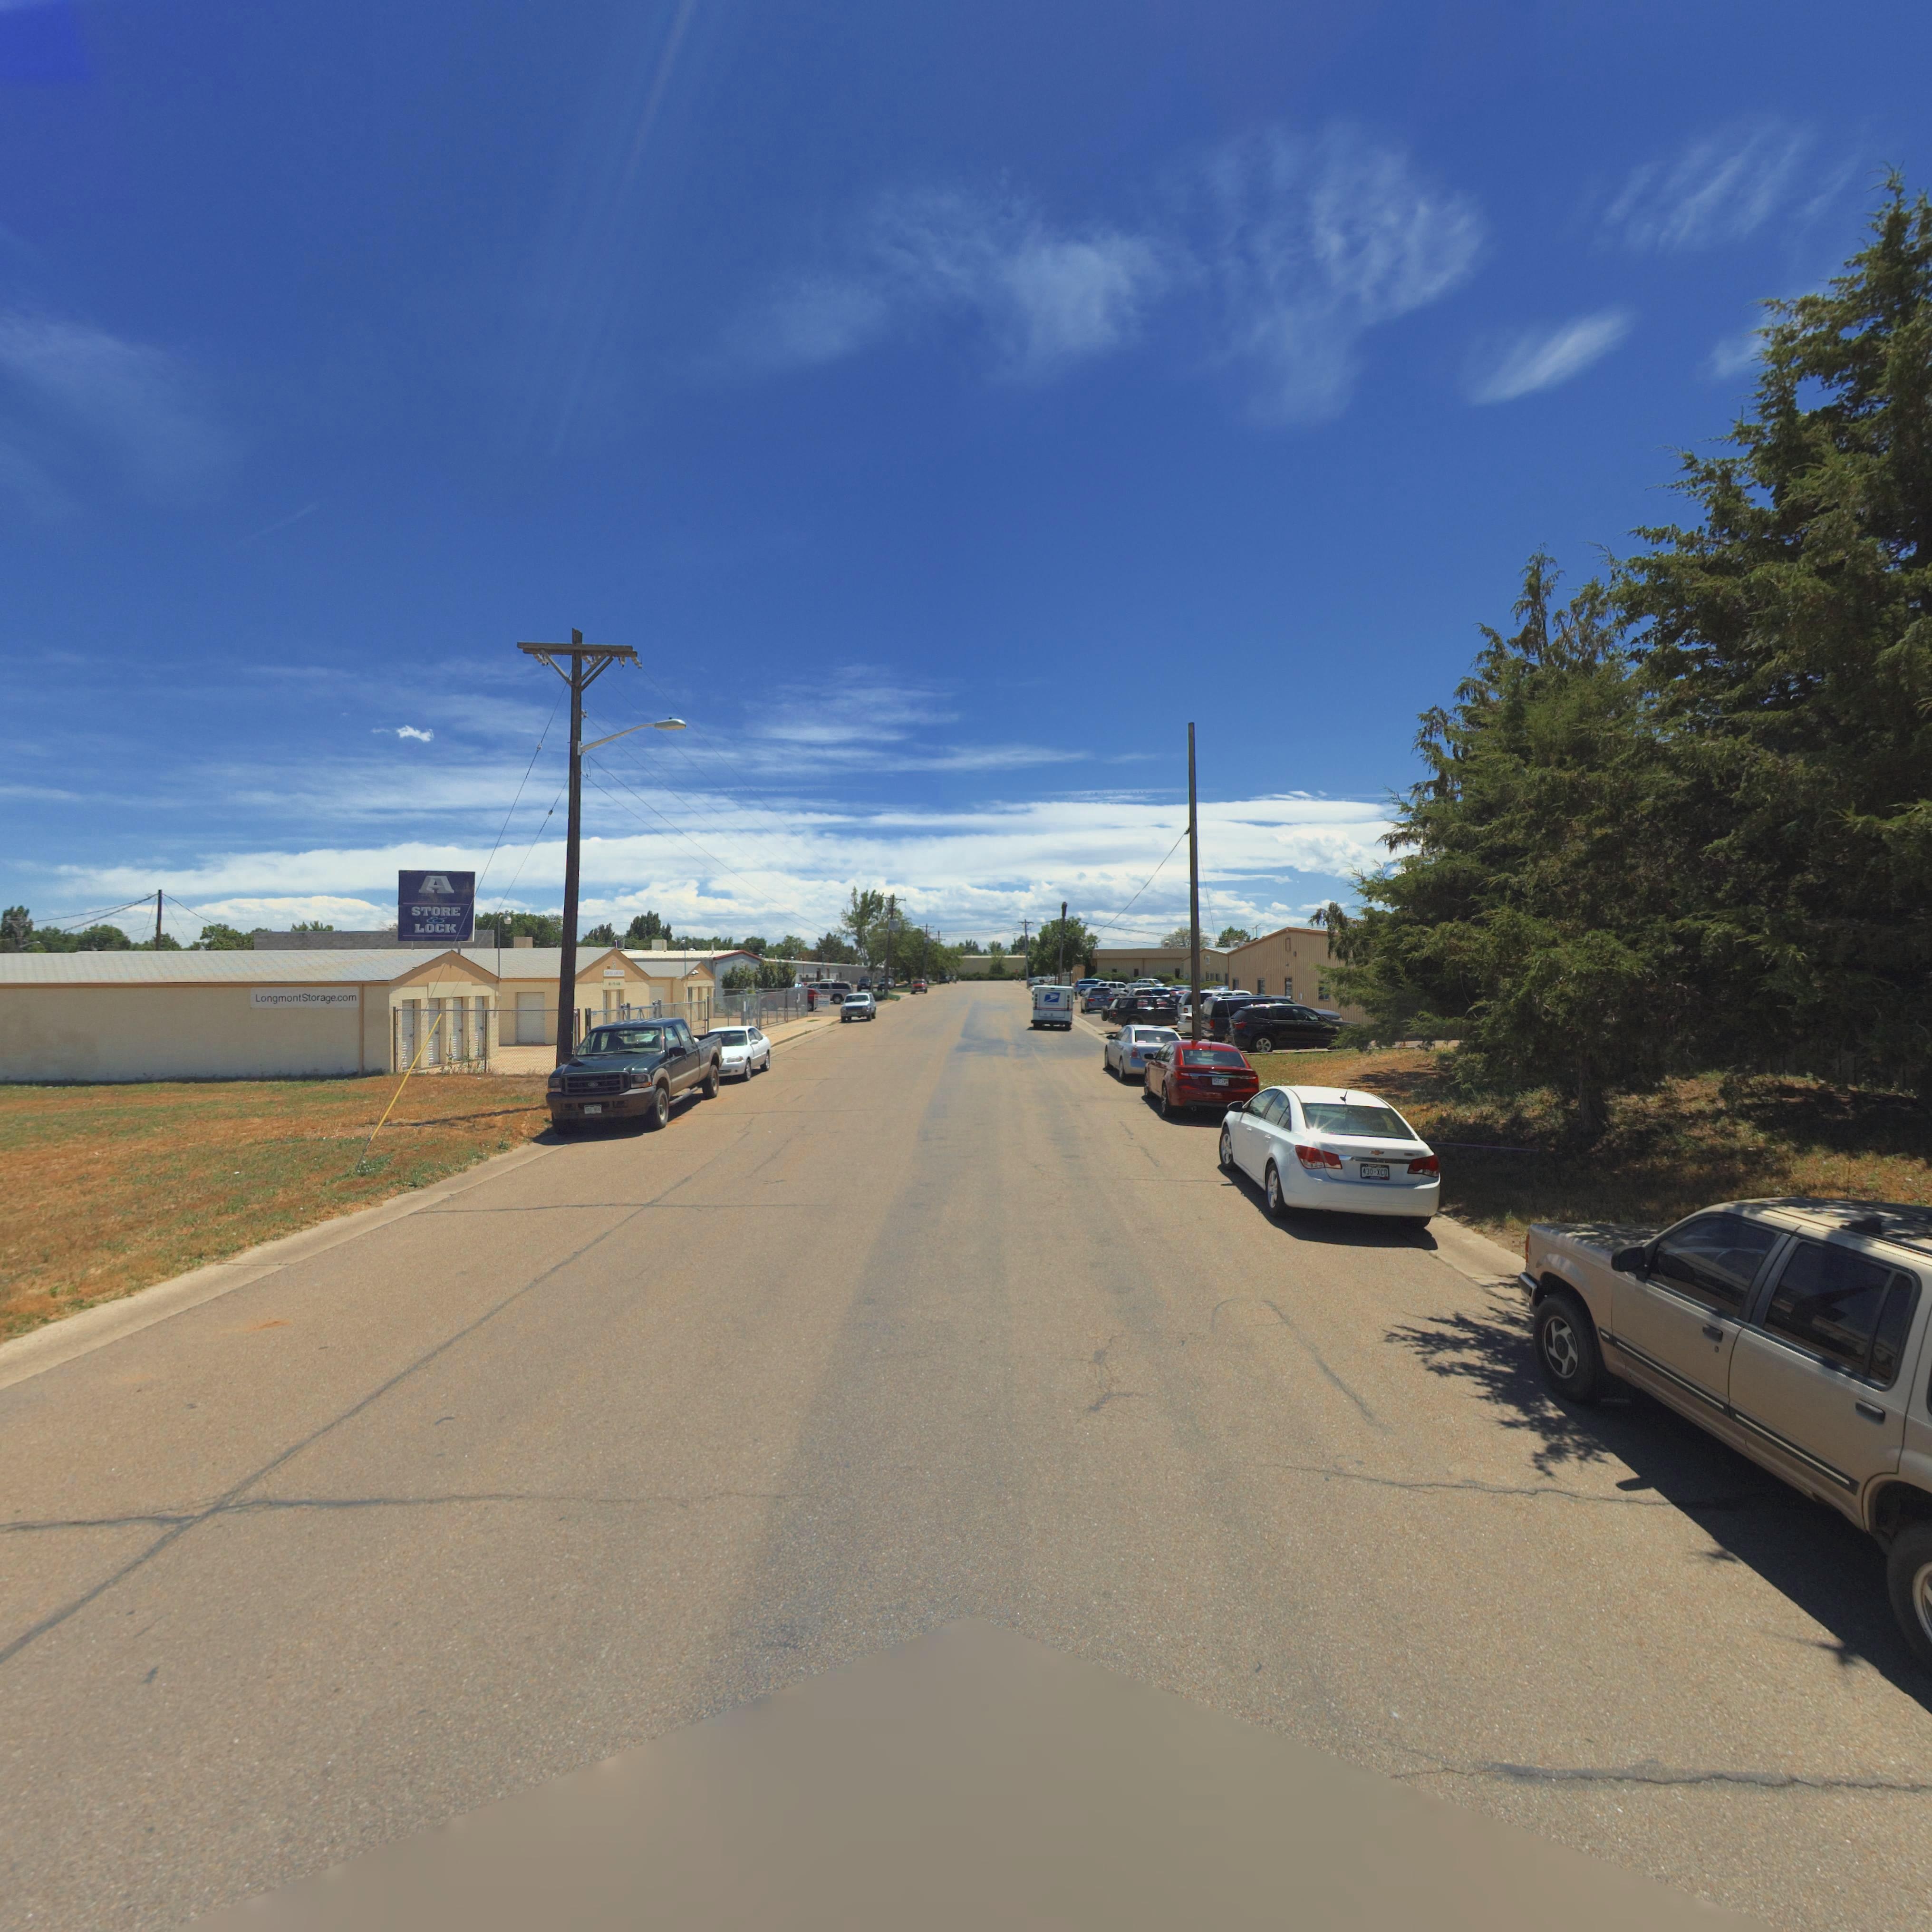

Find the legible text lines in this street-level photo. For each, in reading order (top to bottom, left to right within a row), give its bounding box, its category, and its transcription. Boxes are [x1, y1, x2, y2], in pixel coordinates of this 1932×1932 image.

[418, 874, 455, 894] BusinessName: A
[411, 906, 461, 916] BusinessName: STORE
[425, 916, 447, 924] BusinessName: &
[414, 923, 457, 933] BusinessName: LOCK
[609, 971, 624, 975] StreetName: SO. L******